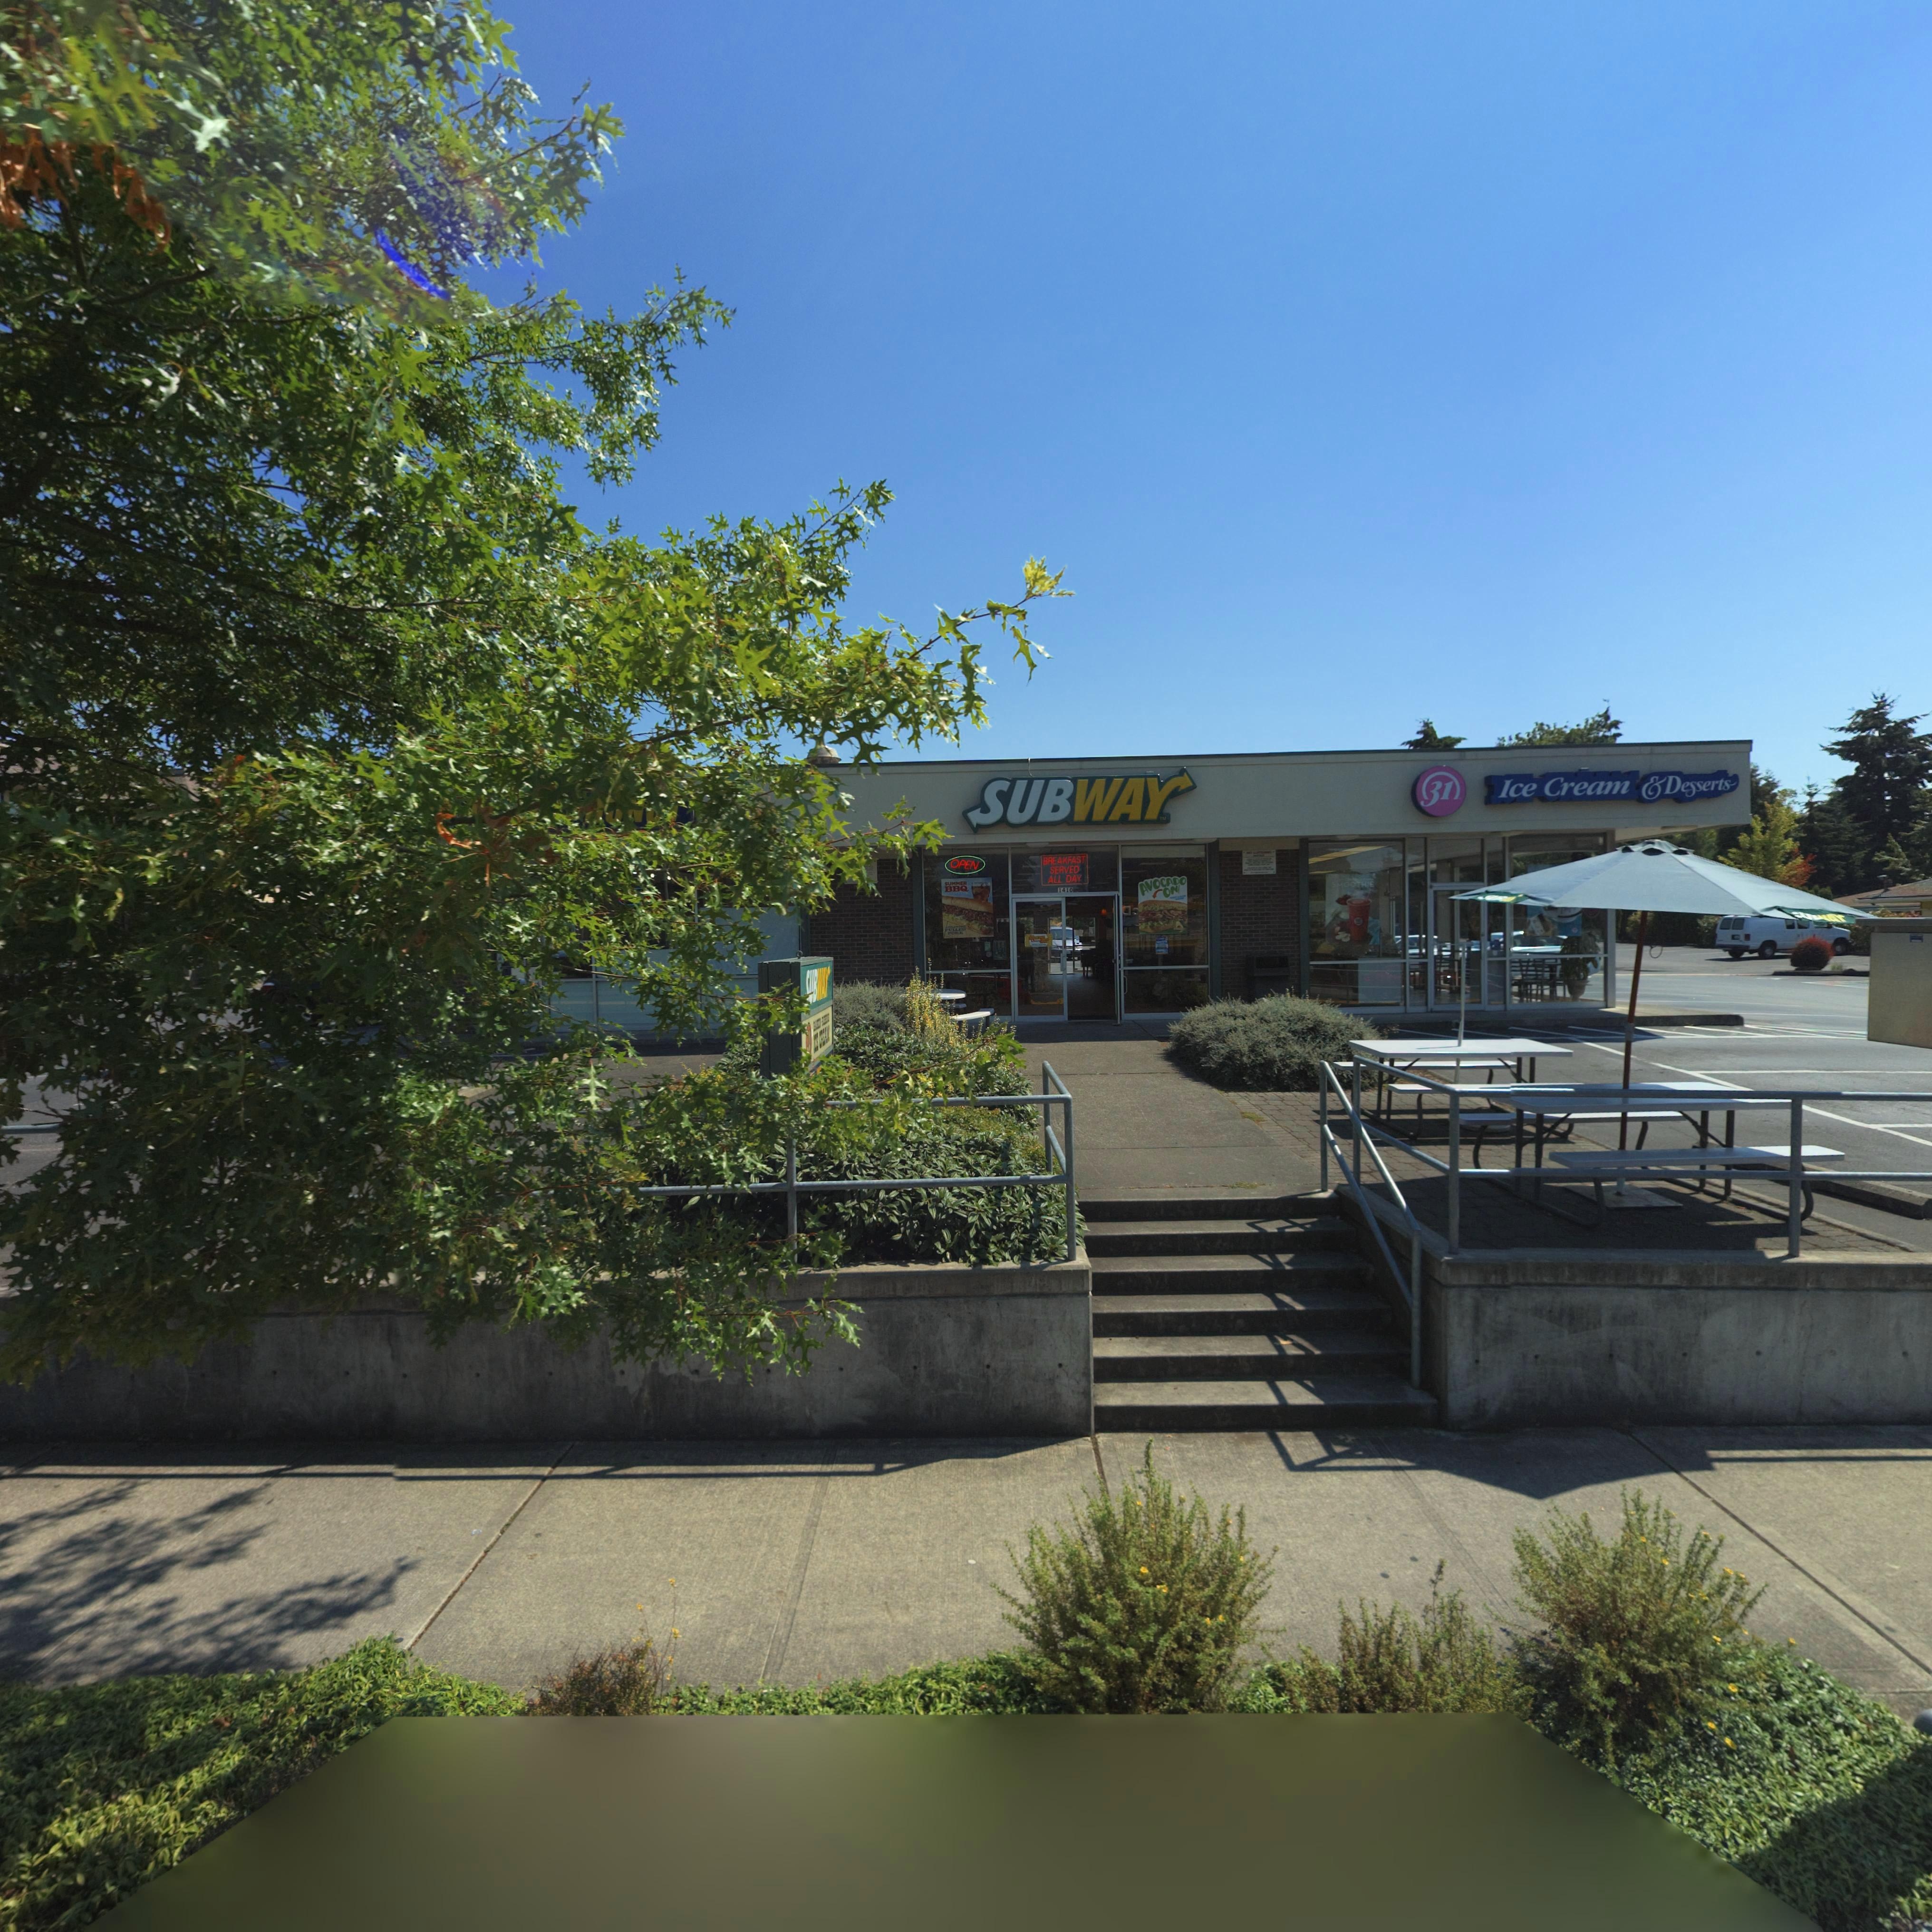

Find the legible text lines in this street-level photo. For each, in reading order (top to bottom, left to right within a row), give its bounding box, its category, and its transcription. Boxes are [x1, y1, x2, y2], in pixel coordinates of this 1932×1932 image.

[959, 764, 1206, 828] BusinessName: SUBWAY
[1369, 760, 1743, 819] BusinessName: 31 ICE CREAM & DESSERTS